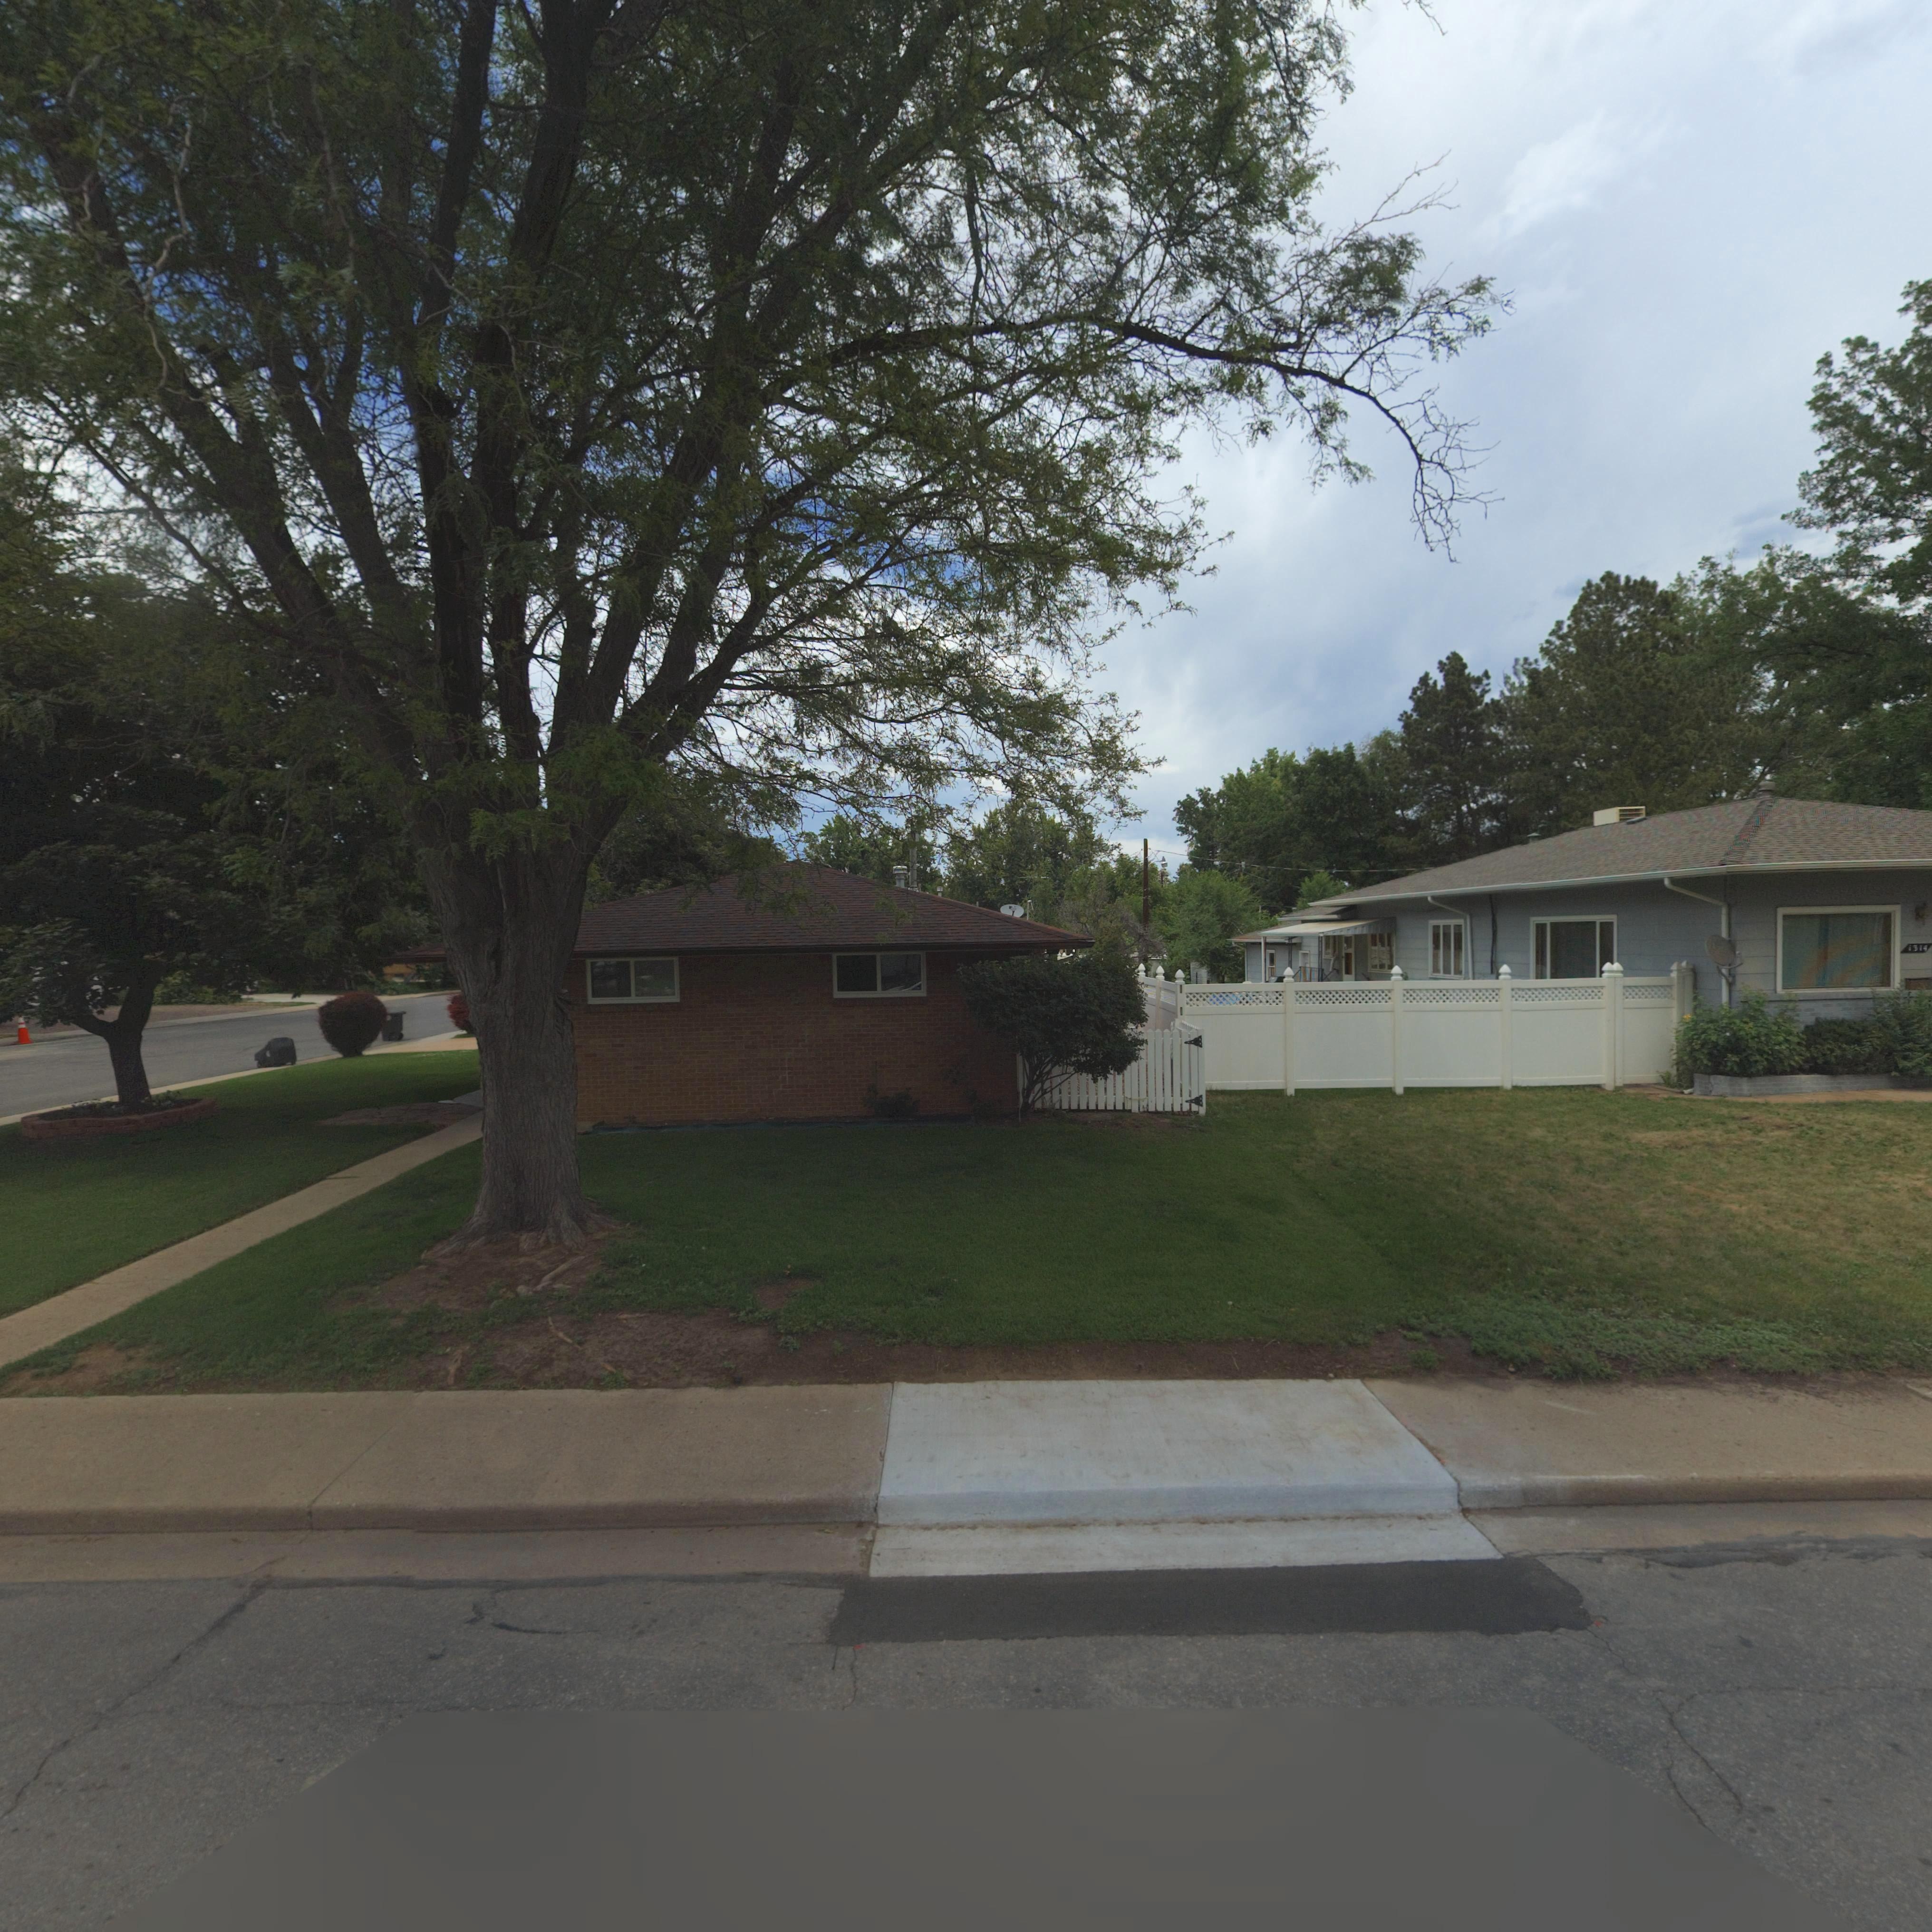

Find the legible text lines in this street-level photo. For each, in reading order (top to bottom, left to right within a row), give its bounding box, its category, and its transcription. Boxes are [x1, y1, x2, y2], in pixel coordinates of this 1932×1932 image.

[1908, 944, 1928, 951] StreetNumber: 1314